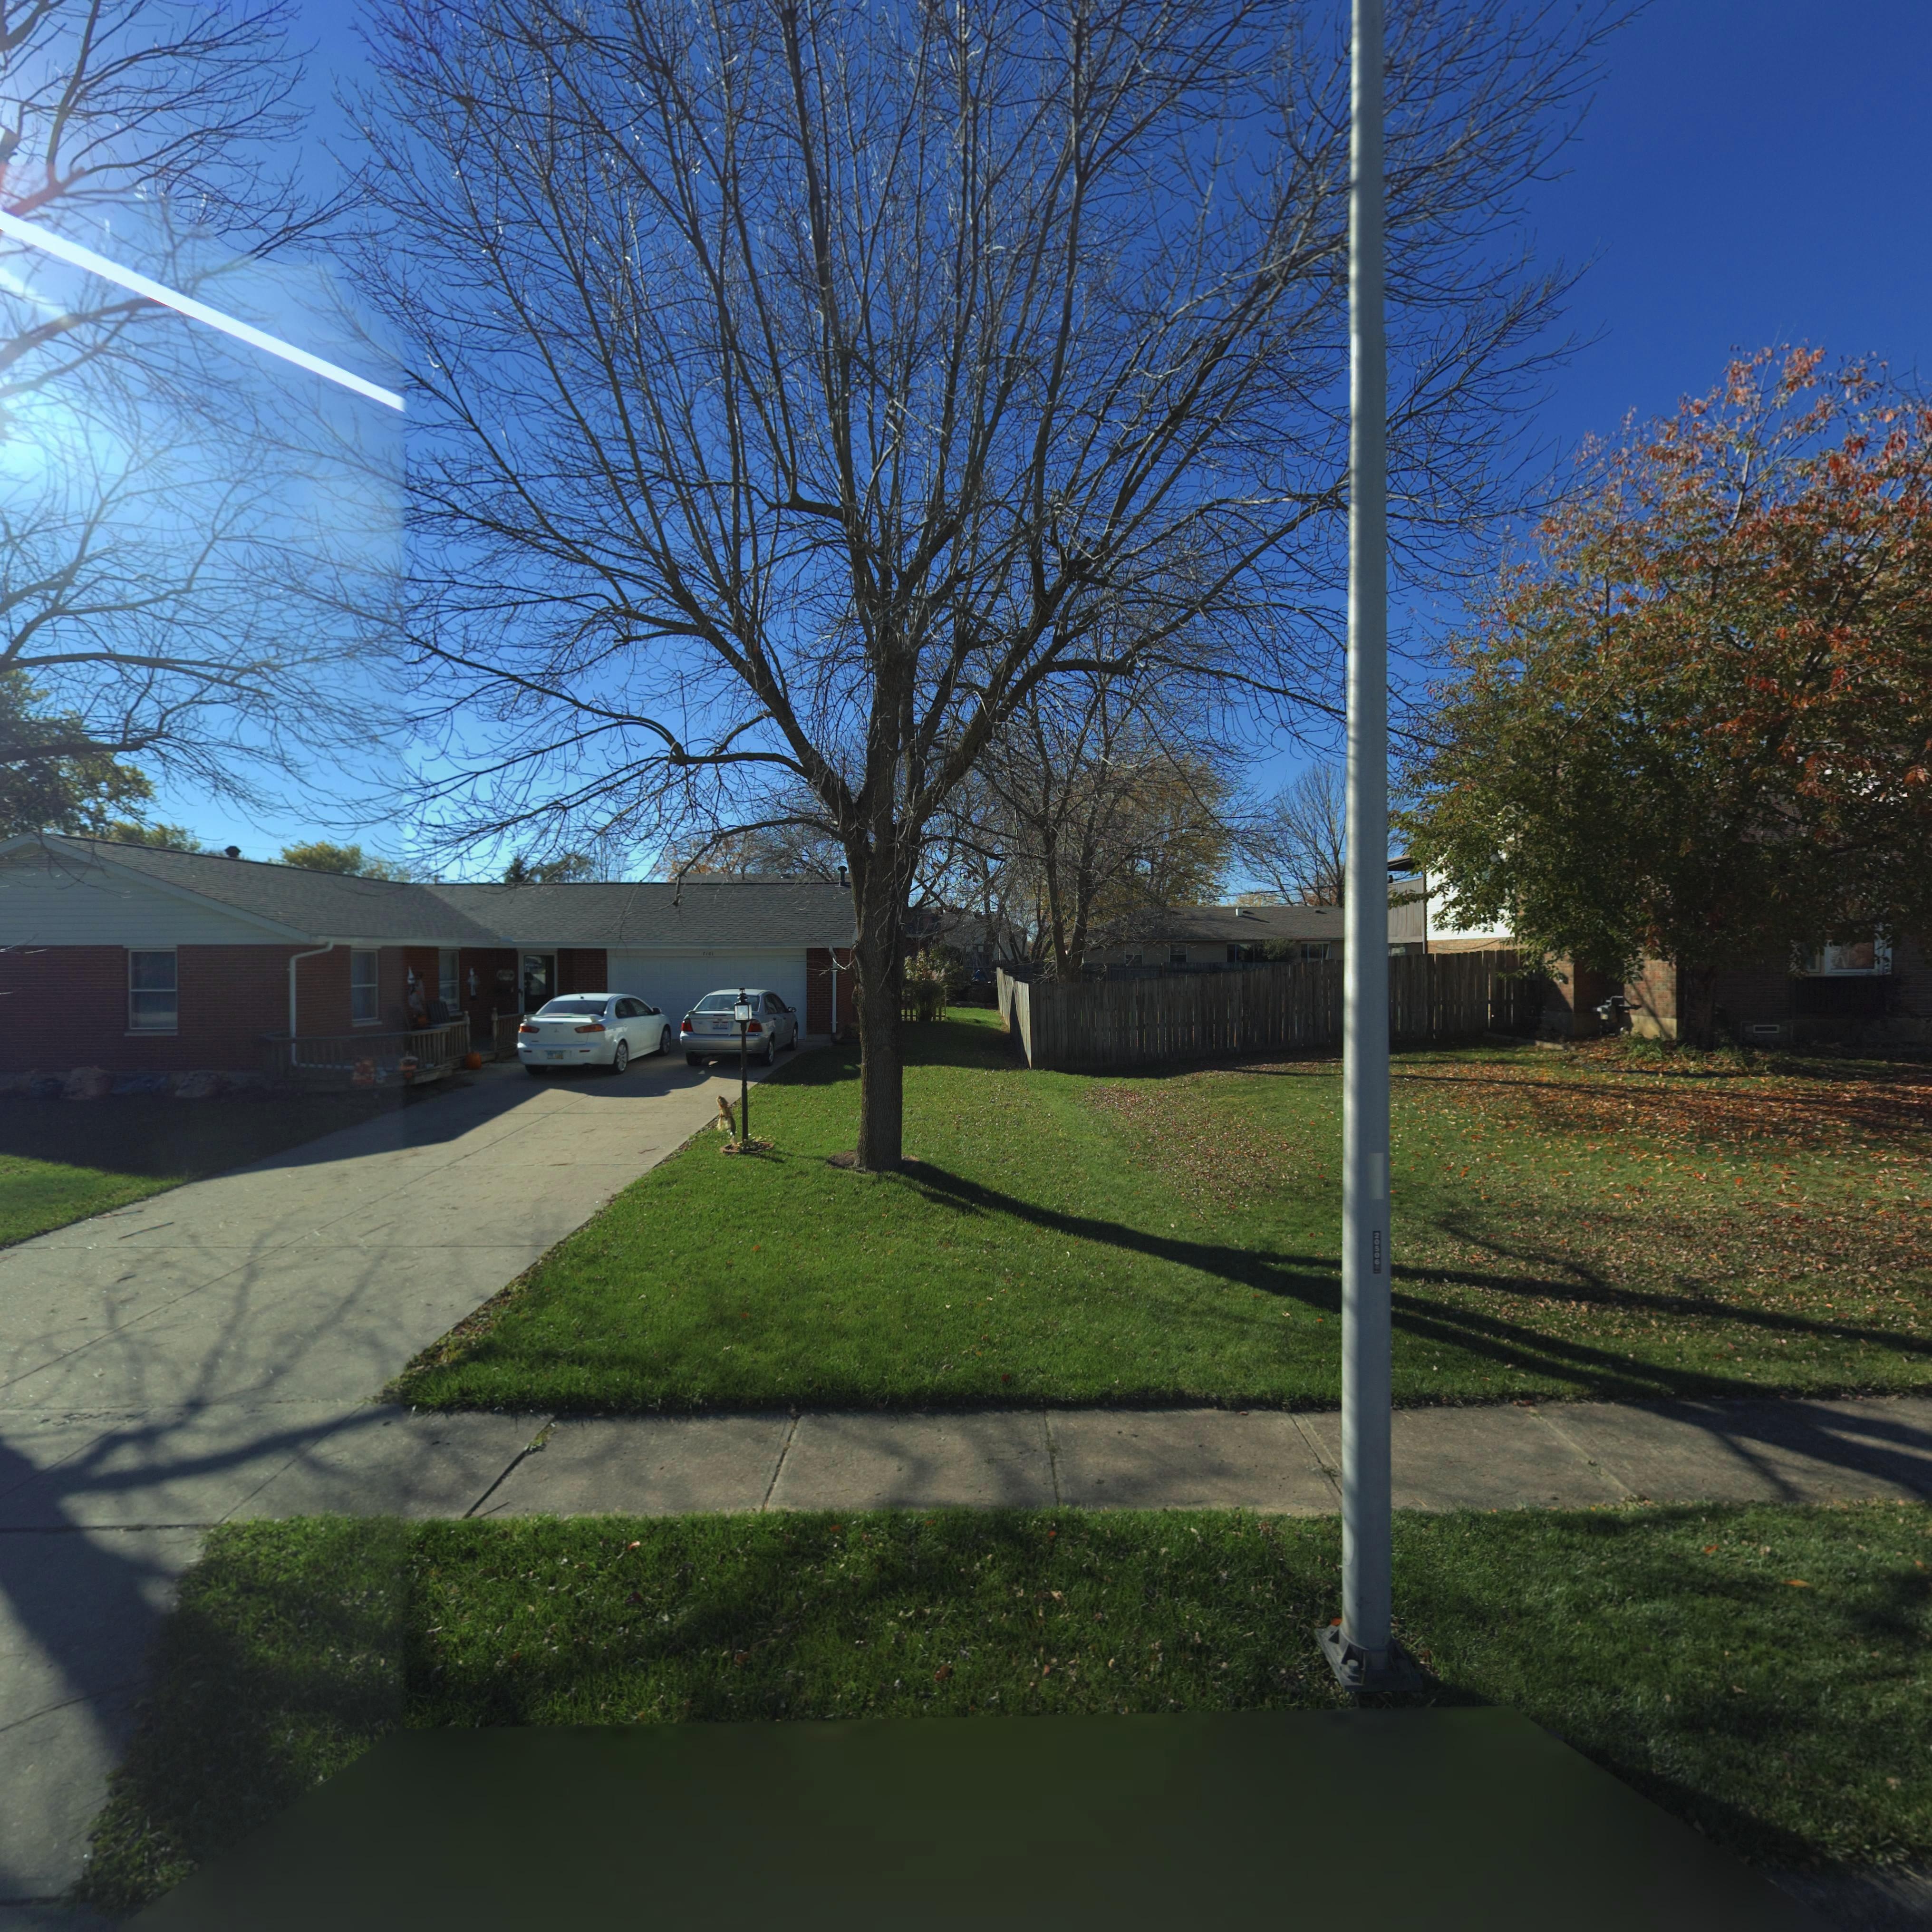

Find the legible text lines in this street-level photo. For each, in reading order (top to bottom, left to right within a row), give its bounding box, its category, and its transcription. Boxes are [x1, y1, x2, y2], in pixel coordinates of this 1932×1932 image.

[701, 950, 715, 957] StreetNumber: *101